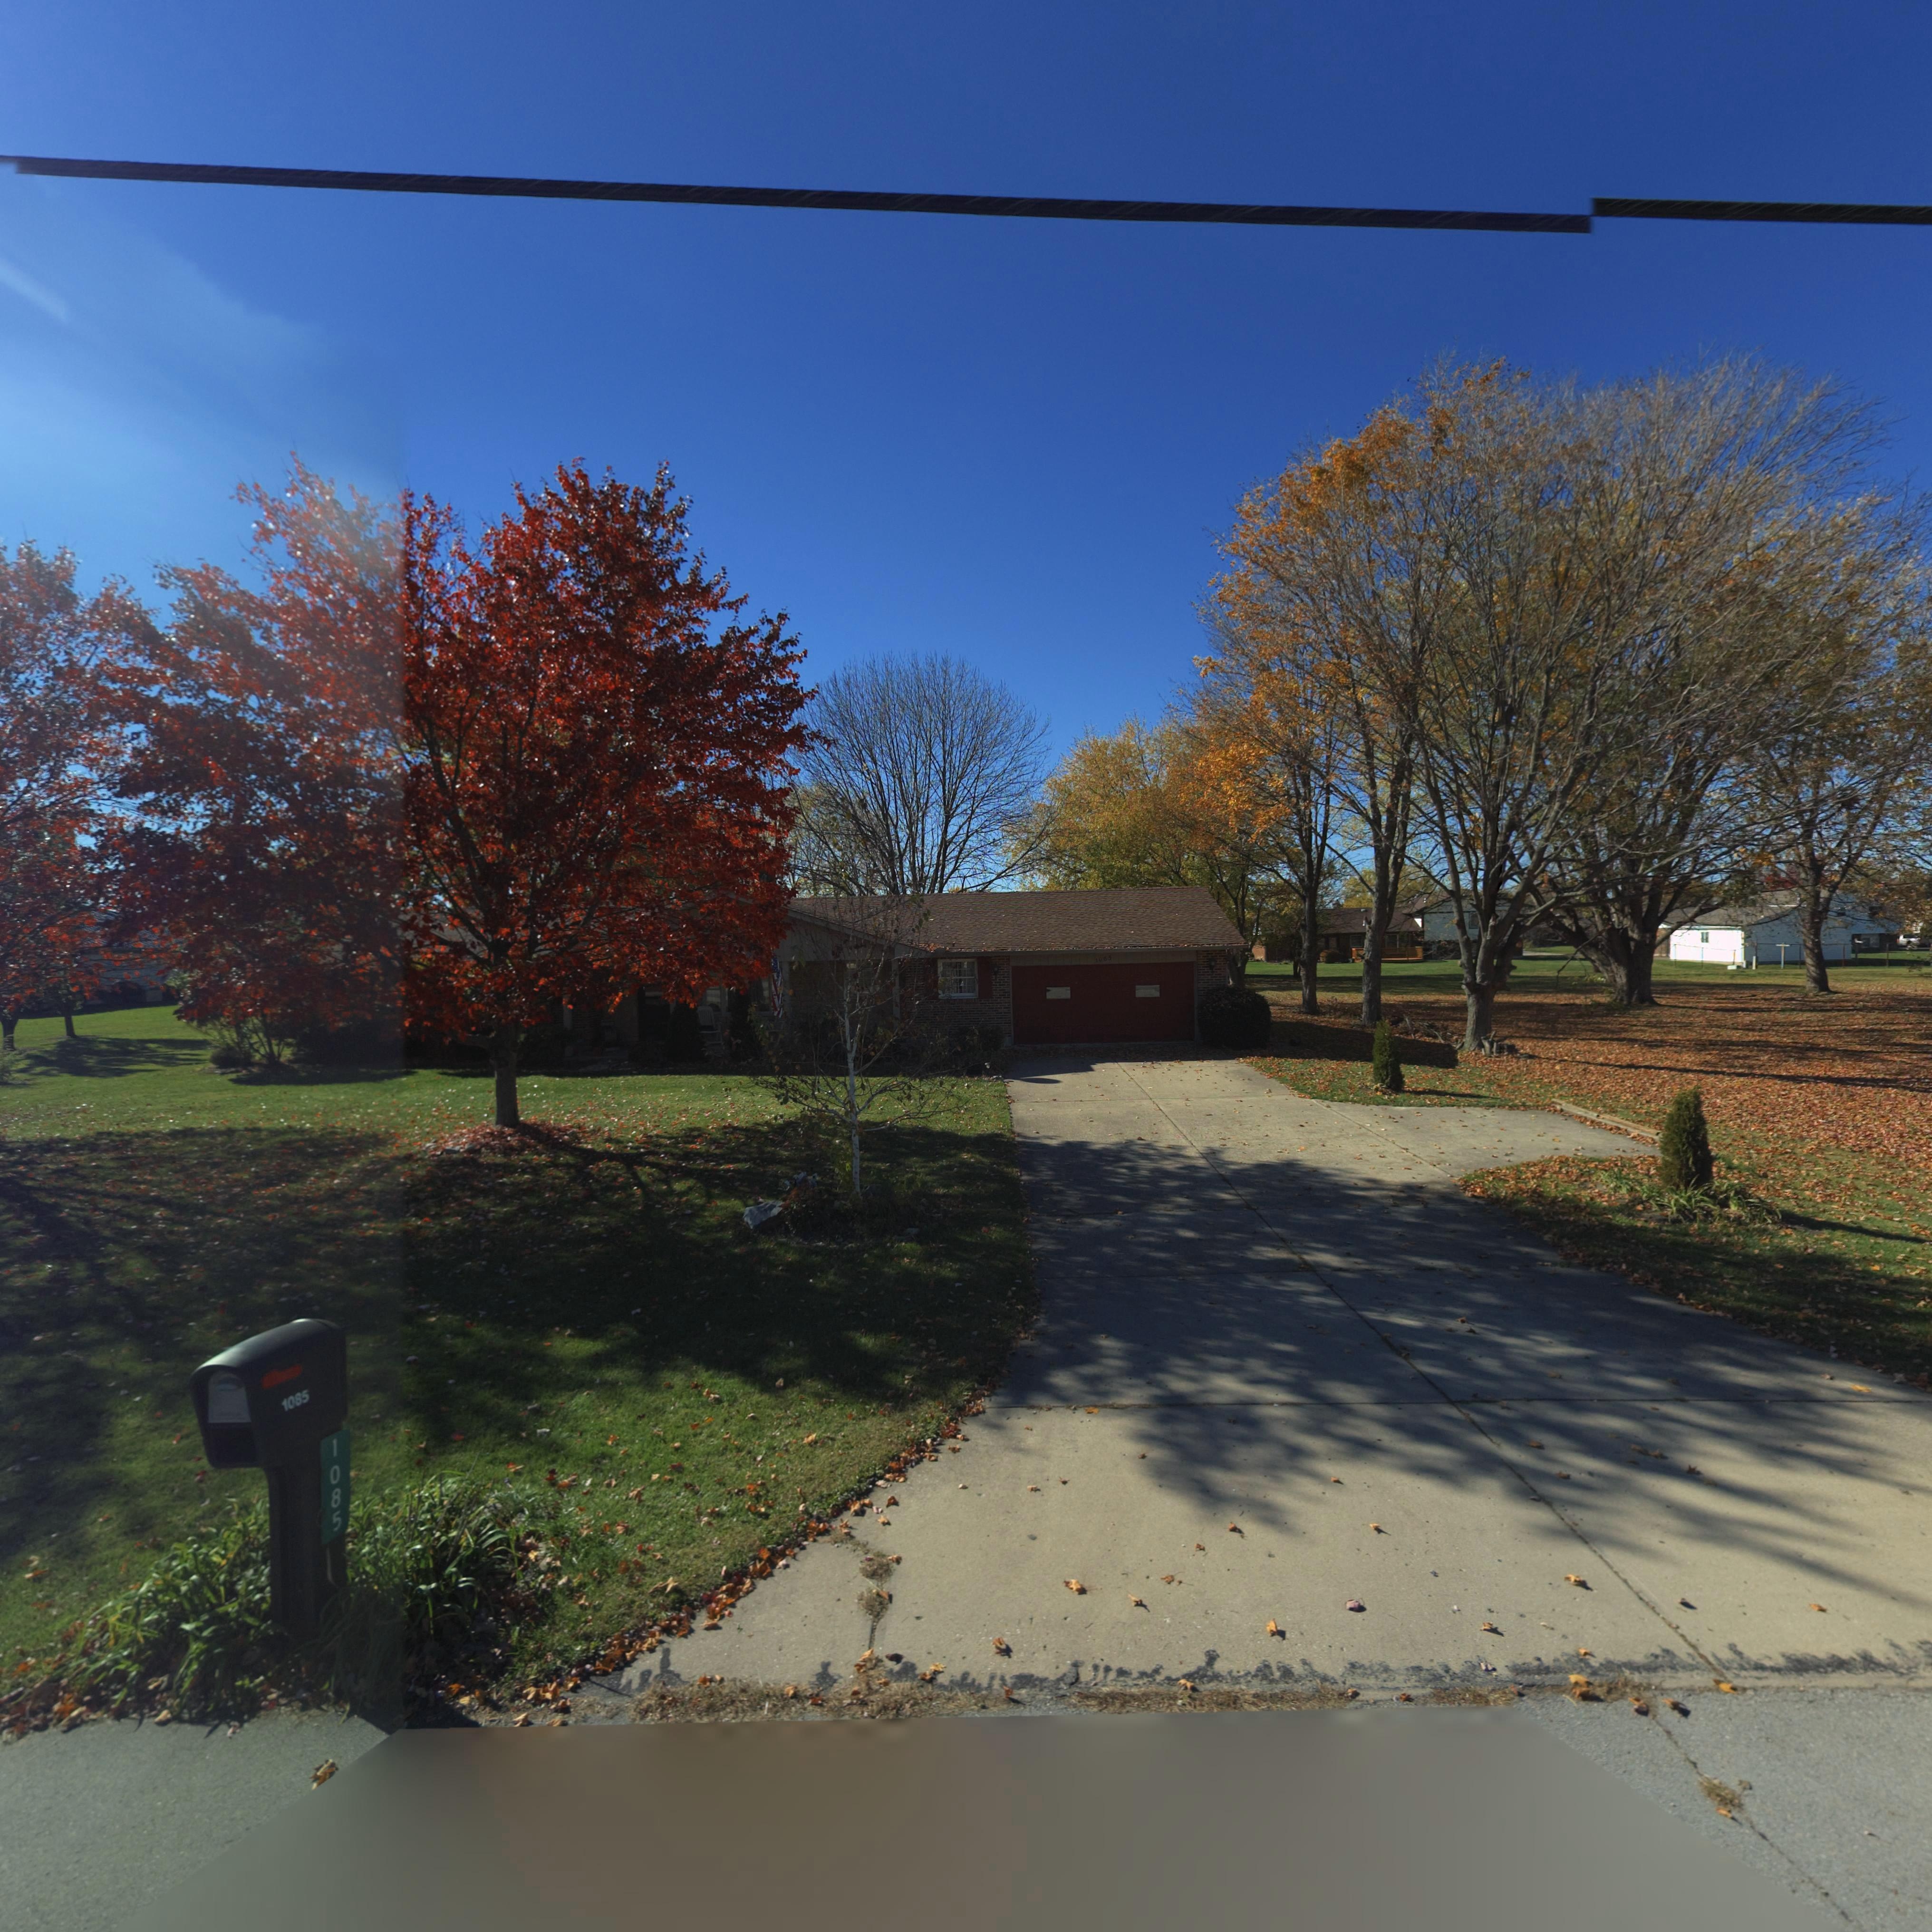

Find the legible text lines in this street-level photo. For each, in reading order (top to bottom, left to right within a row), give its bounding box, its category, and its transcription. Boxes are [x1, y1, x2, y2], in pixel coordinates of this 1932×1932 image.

[1095, 954, 1112, 964] StreetNumber: 10*5
[280, 1387, 311, 1414] StreetNumber: 1085
[328, 1436, 343, 1534] StreetNumber: 1085